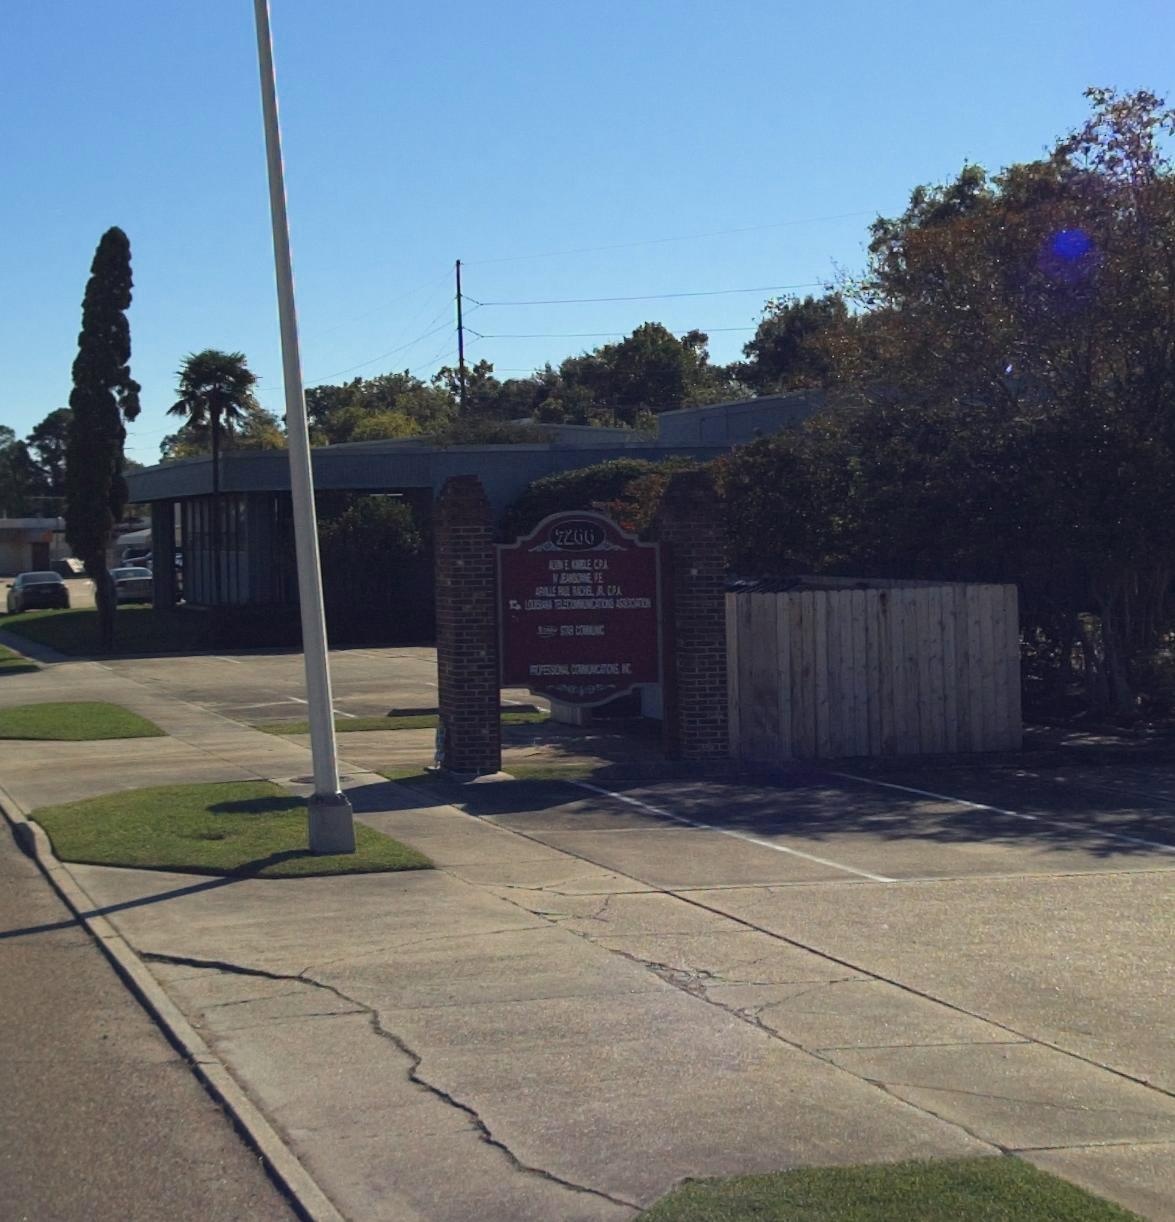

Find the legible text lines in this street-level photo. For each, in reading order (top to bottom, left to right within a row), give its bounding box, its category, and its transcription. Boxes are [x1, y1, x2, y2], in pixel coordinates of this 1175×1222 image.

[553, 525, 598, 548] StreetNumber: 2266
[561, 557, 573, 573] None: E
[585, 556, 611, 572] None: E CPA
[597, 569, 607, 585] None: E
[583, 582, 625, 598] None: EL * CPA
[597, 597, 610, 612] None: O